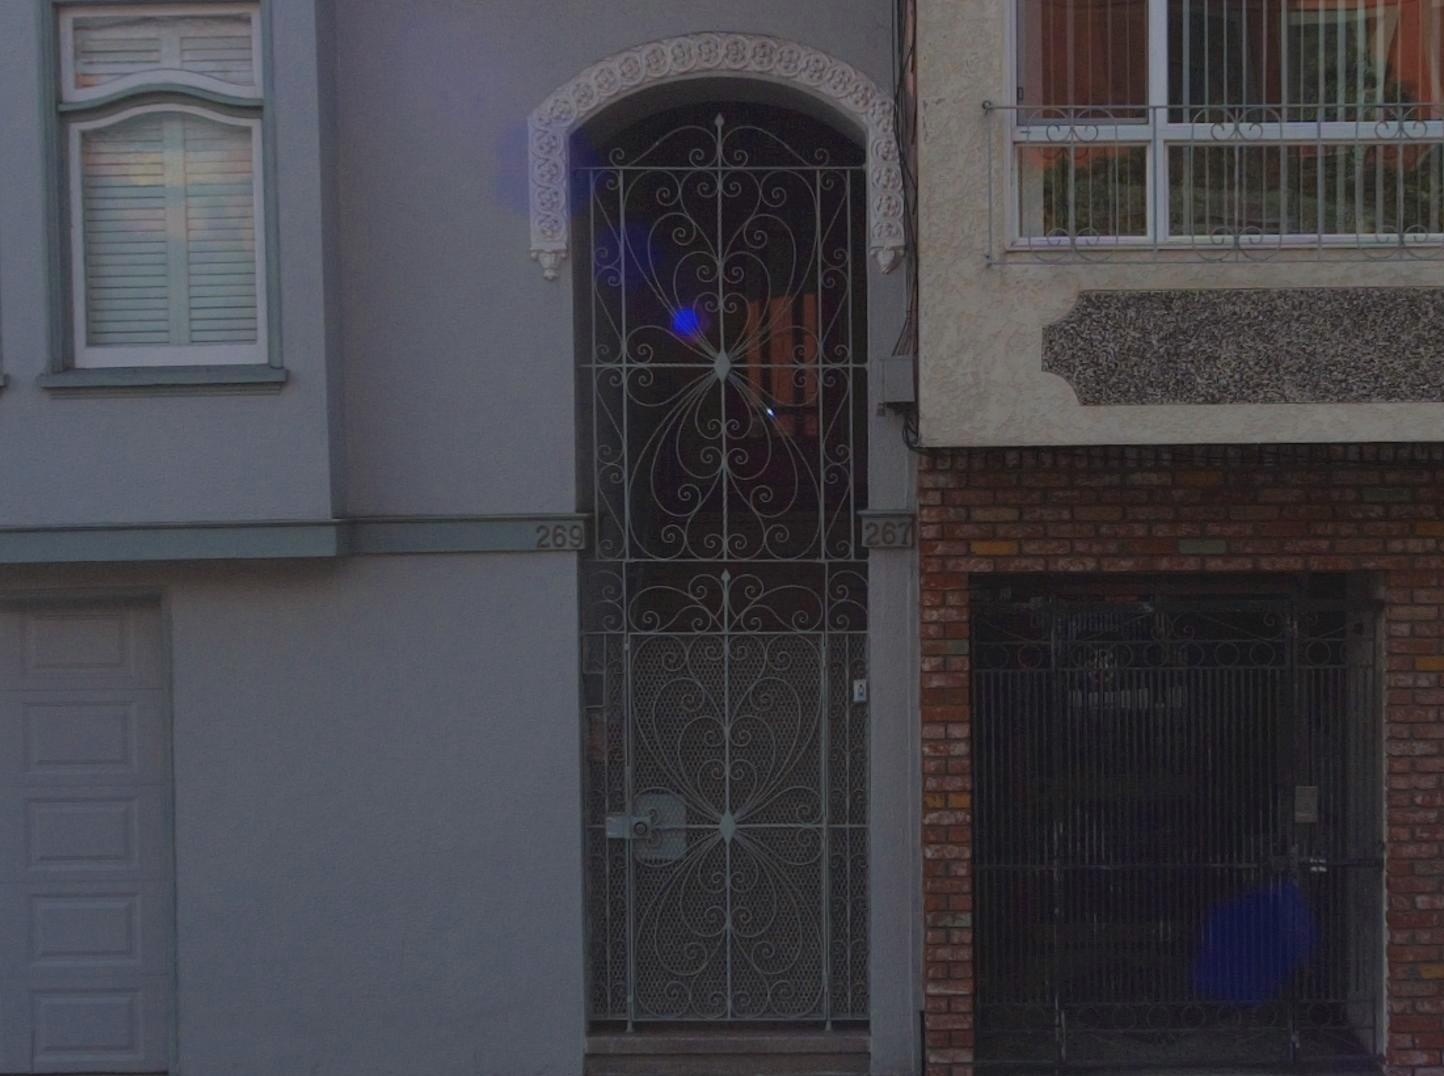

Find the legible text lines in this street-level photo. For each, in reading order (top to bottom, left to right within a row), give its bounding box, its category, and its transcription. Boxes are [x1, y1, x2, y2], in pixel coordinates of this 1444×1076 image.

[535, 523, 585, 549] StreetNumber: 269
[864, 520, 913, 546] StreetNumber: 267